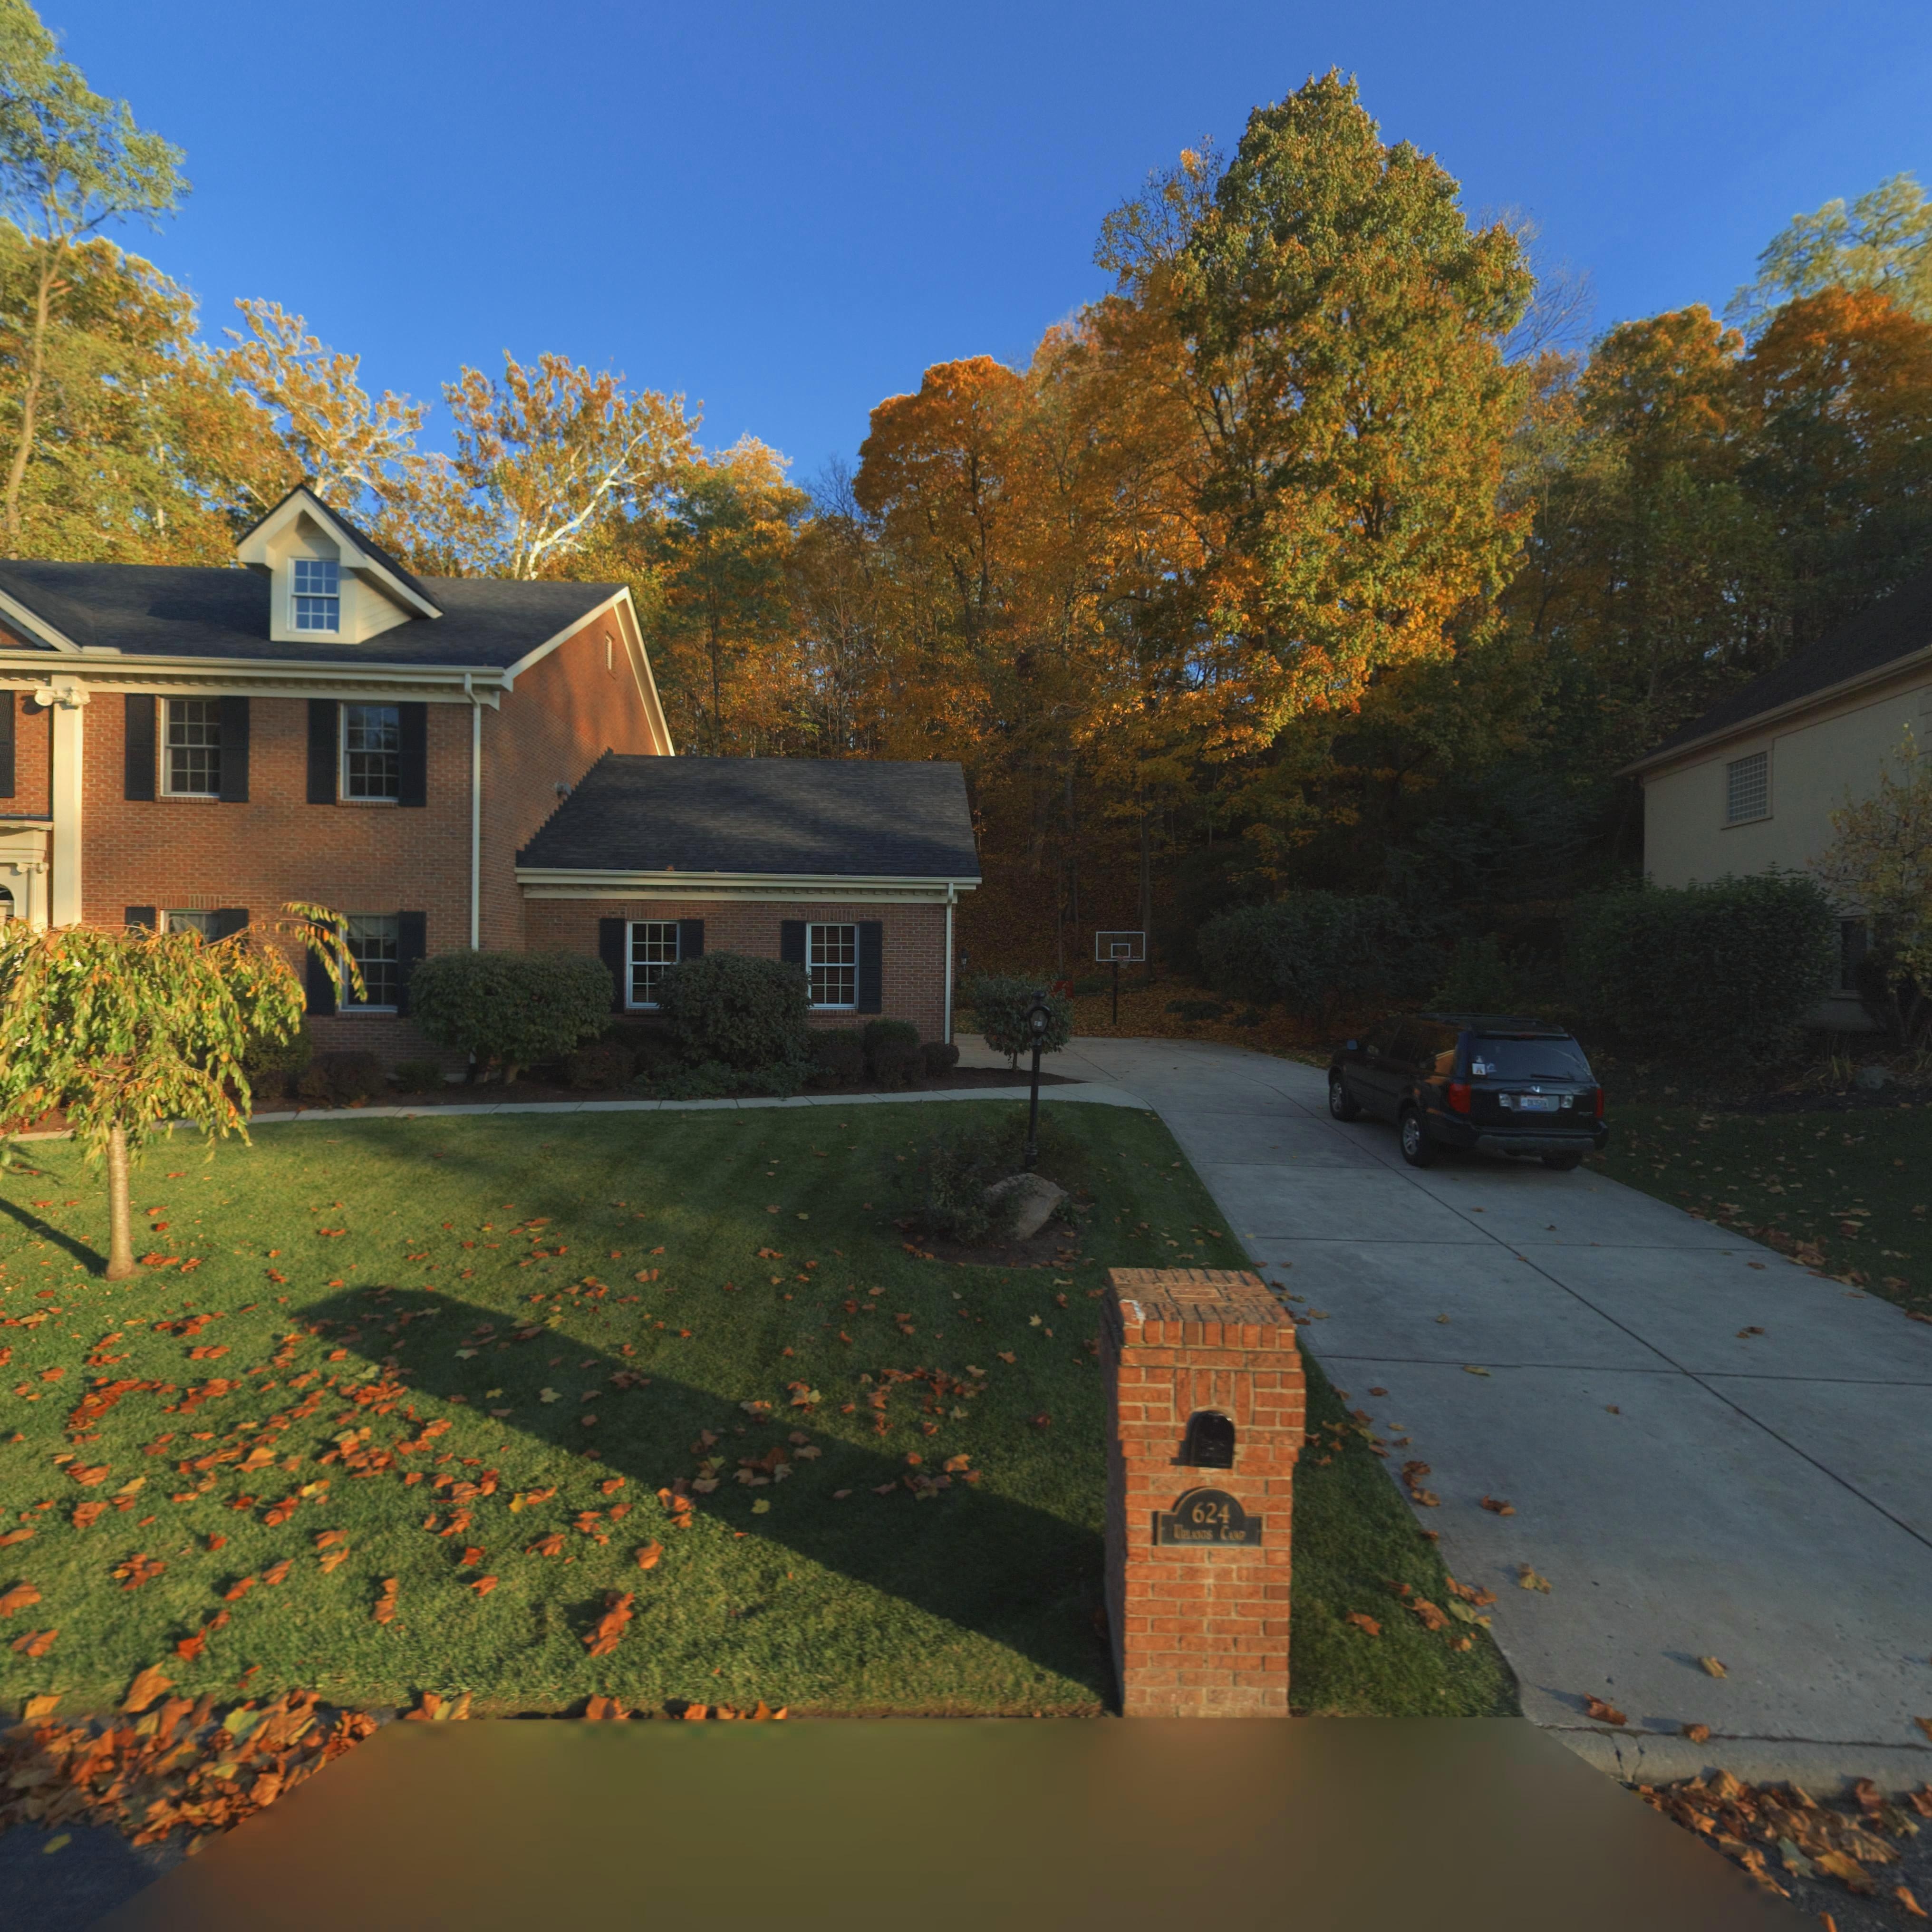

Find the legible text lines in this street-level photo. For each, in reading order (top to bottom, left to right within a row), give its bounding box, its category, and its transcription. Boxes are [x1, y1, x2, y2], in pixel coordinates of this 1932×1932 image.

[1190, 1500, 1231, 1525] StreetNumber: 624
[1173, 1523, 1248, 1542] StreetName: UPLANDS CAMP